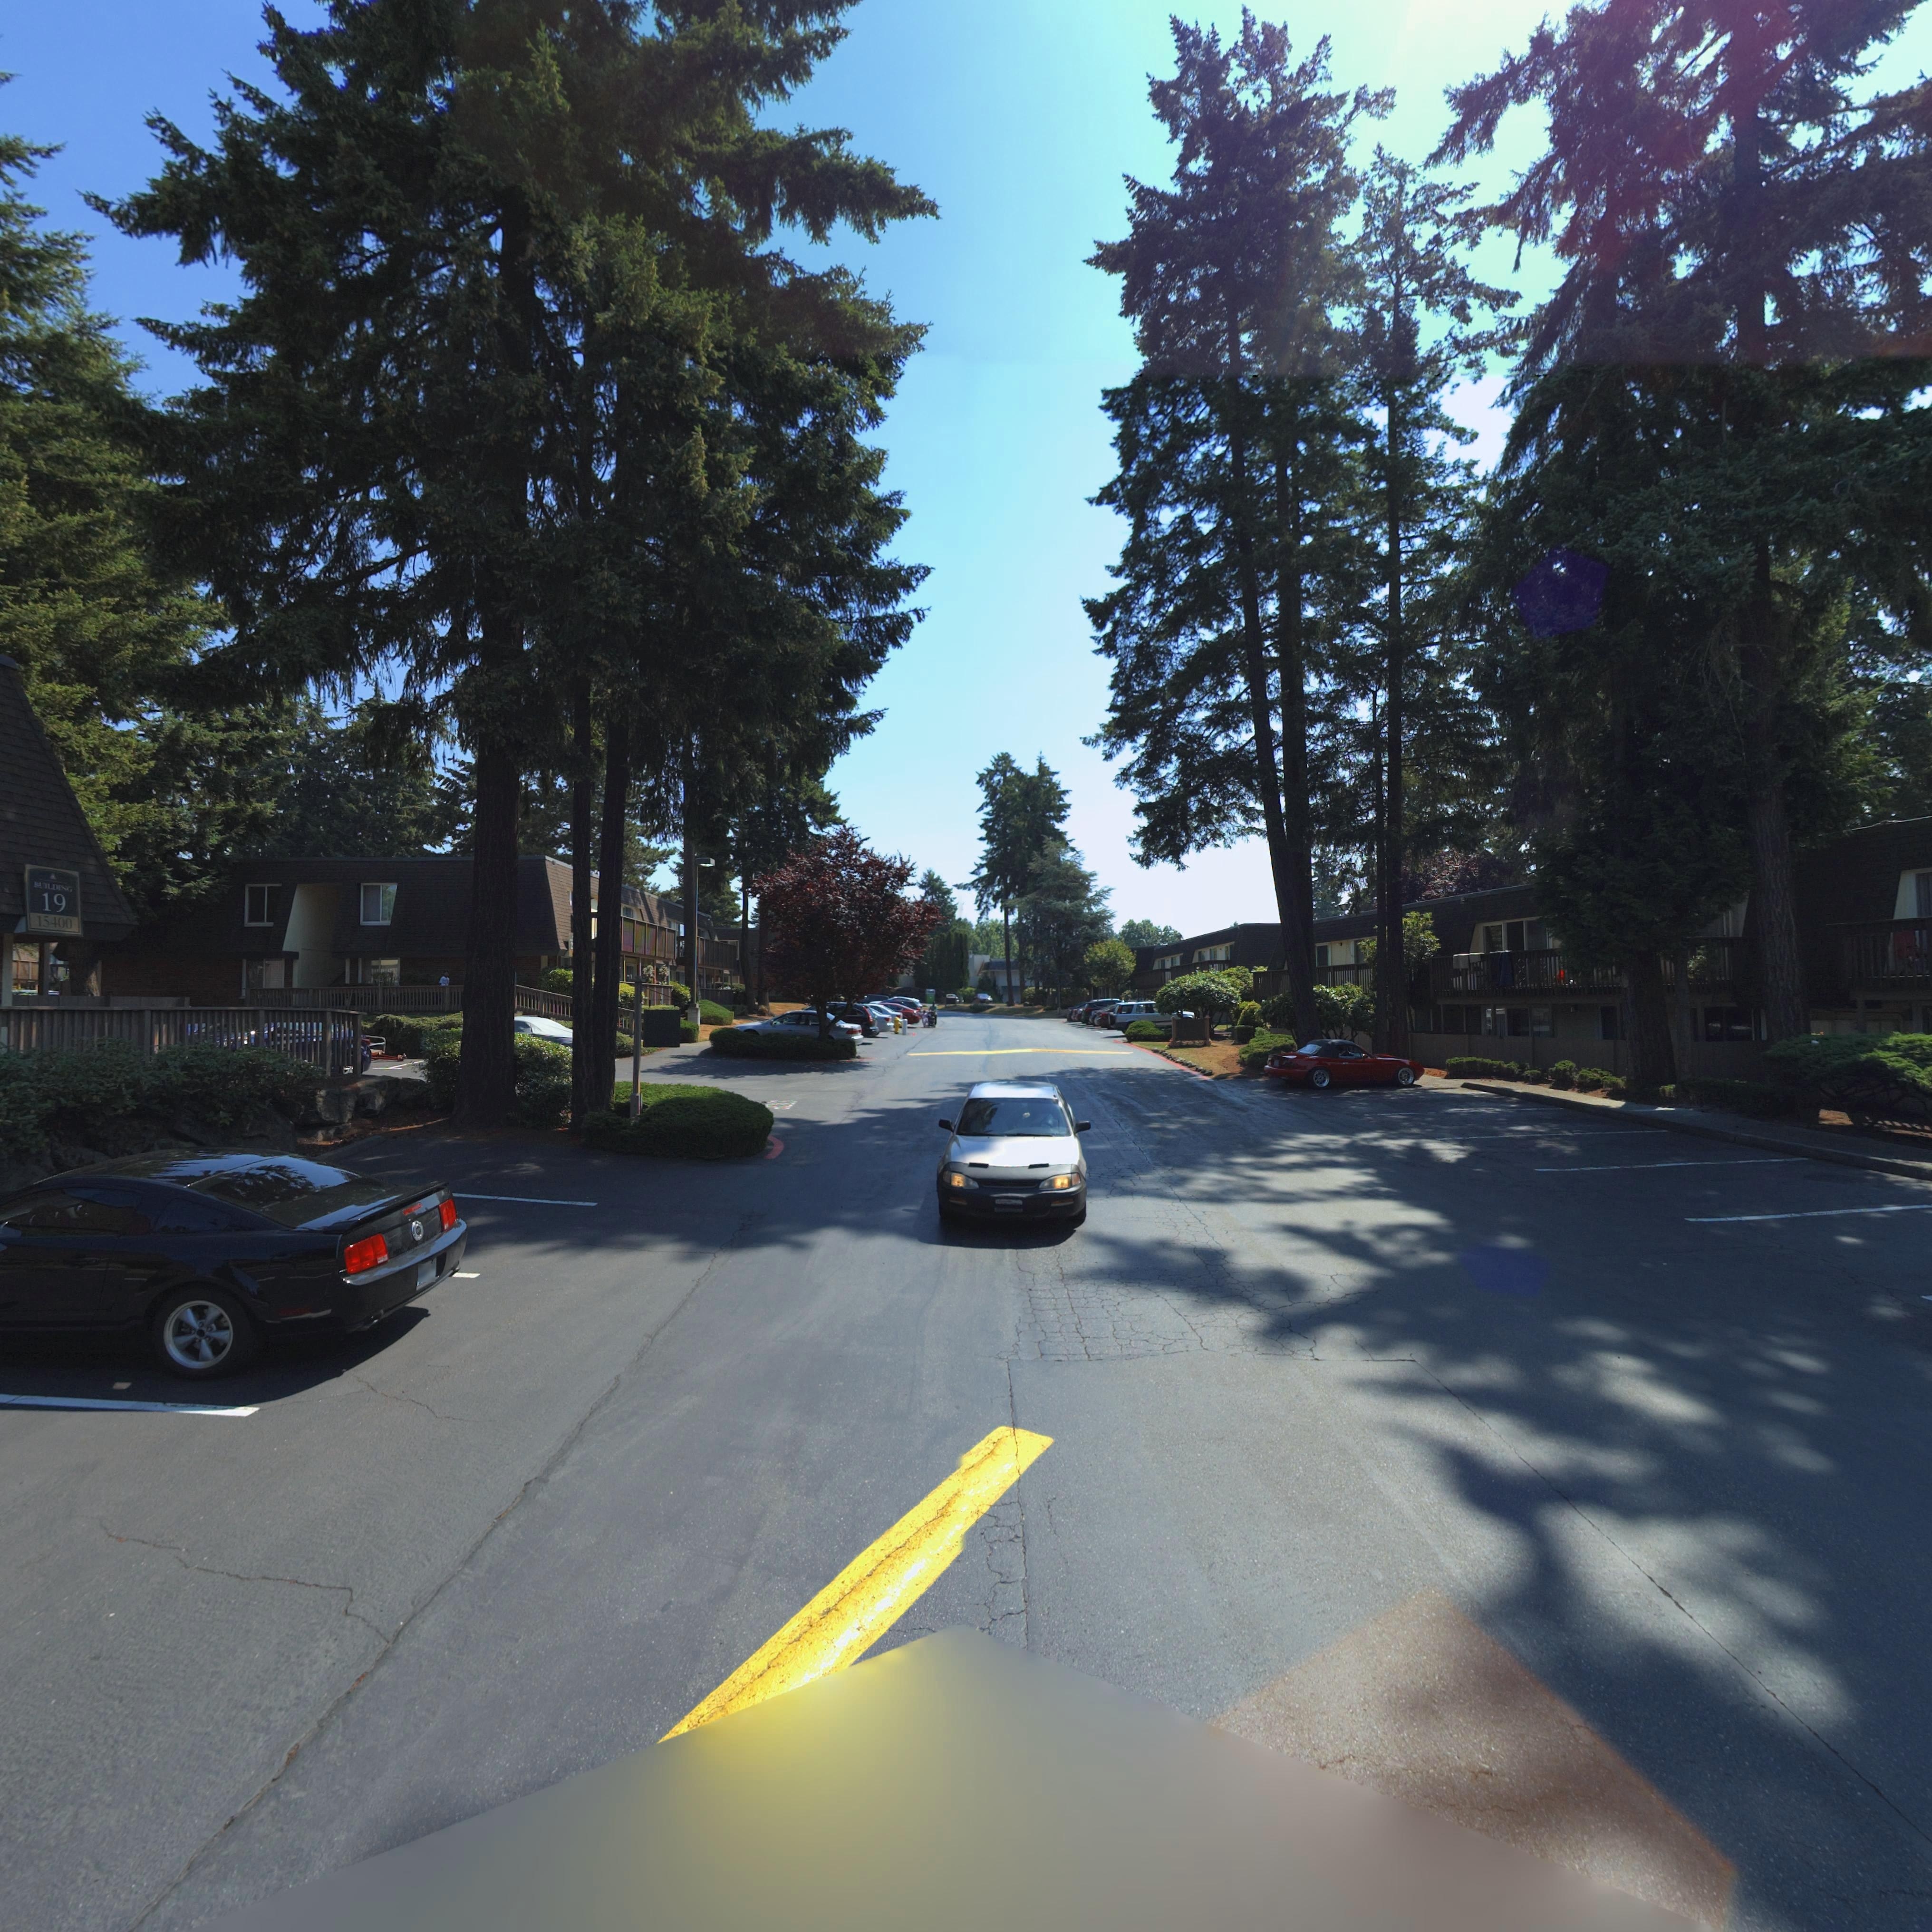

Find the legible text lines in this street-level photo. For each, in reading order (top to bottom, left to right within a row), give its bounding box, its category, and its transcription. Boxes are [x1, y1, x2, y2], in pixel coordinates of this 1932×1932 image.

[33, 880, 73, 893] SecondaryUnitDesignator: BUILDING
[41, 892, 66, 913] SecondaryUnitDesignator: 19
[36, 914, 72, 929] StreetNumber: 15400